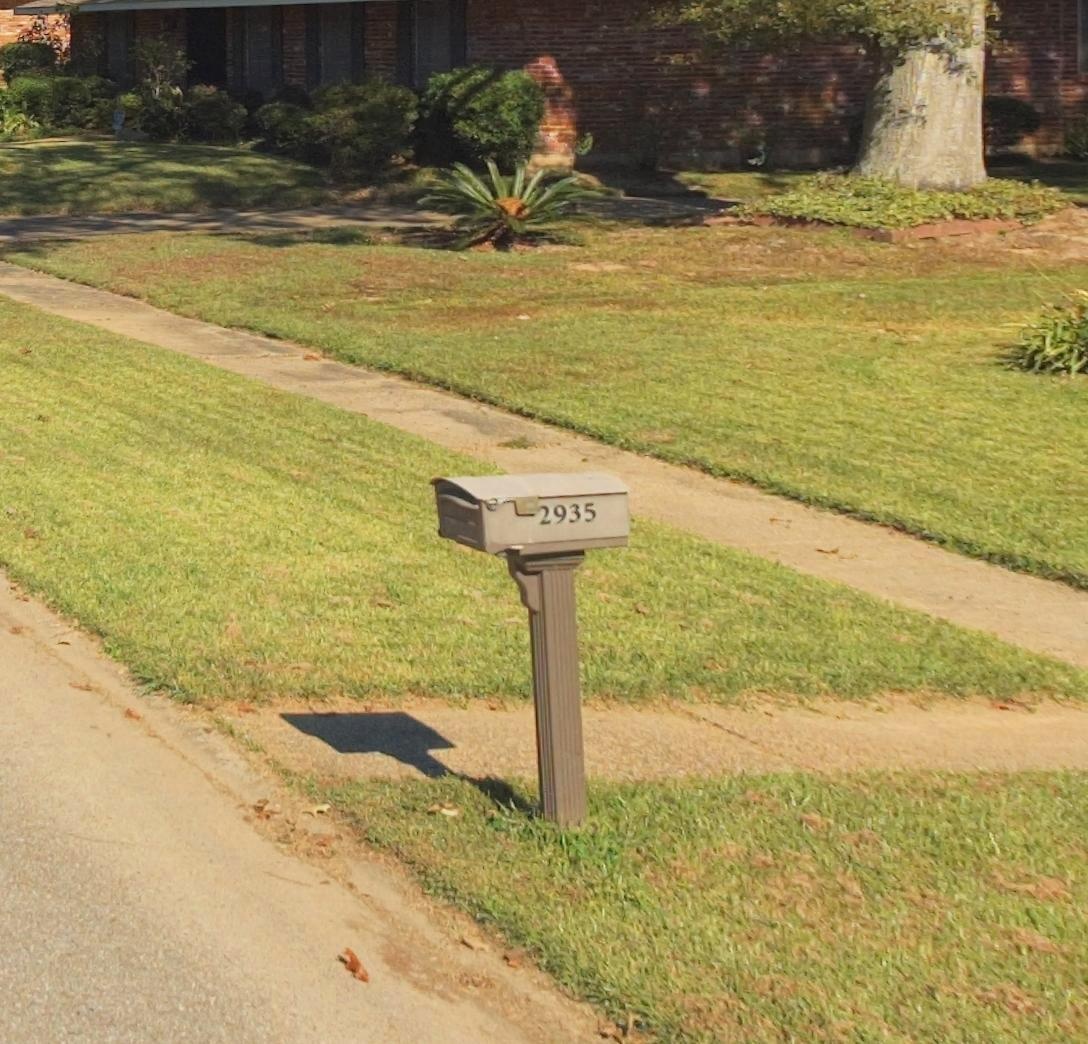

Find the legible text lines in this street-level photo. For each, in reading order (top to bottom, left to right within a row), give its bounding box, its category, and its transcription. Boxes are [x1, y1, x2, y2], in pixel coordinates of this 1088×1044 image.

[534, 498, 599, 530] StreetNumber: 2935